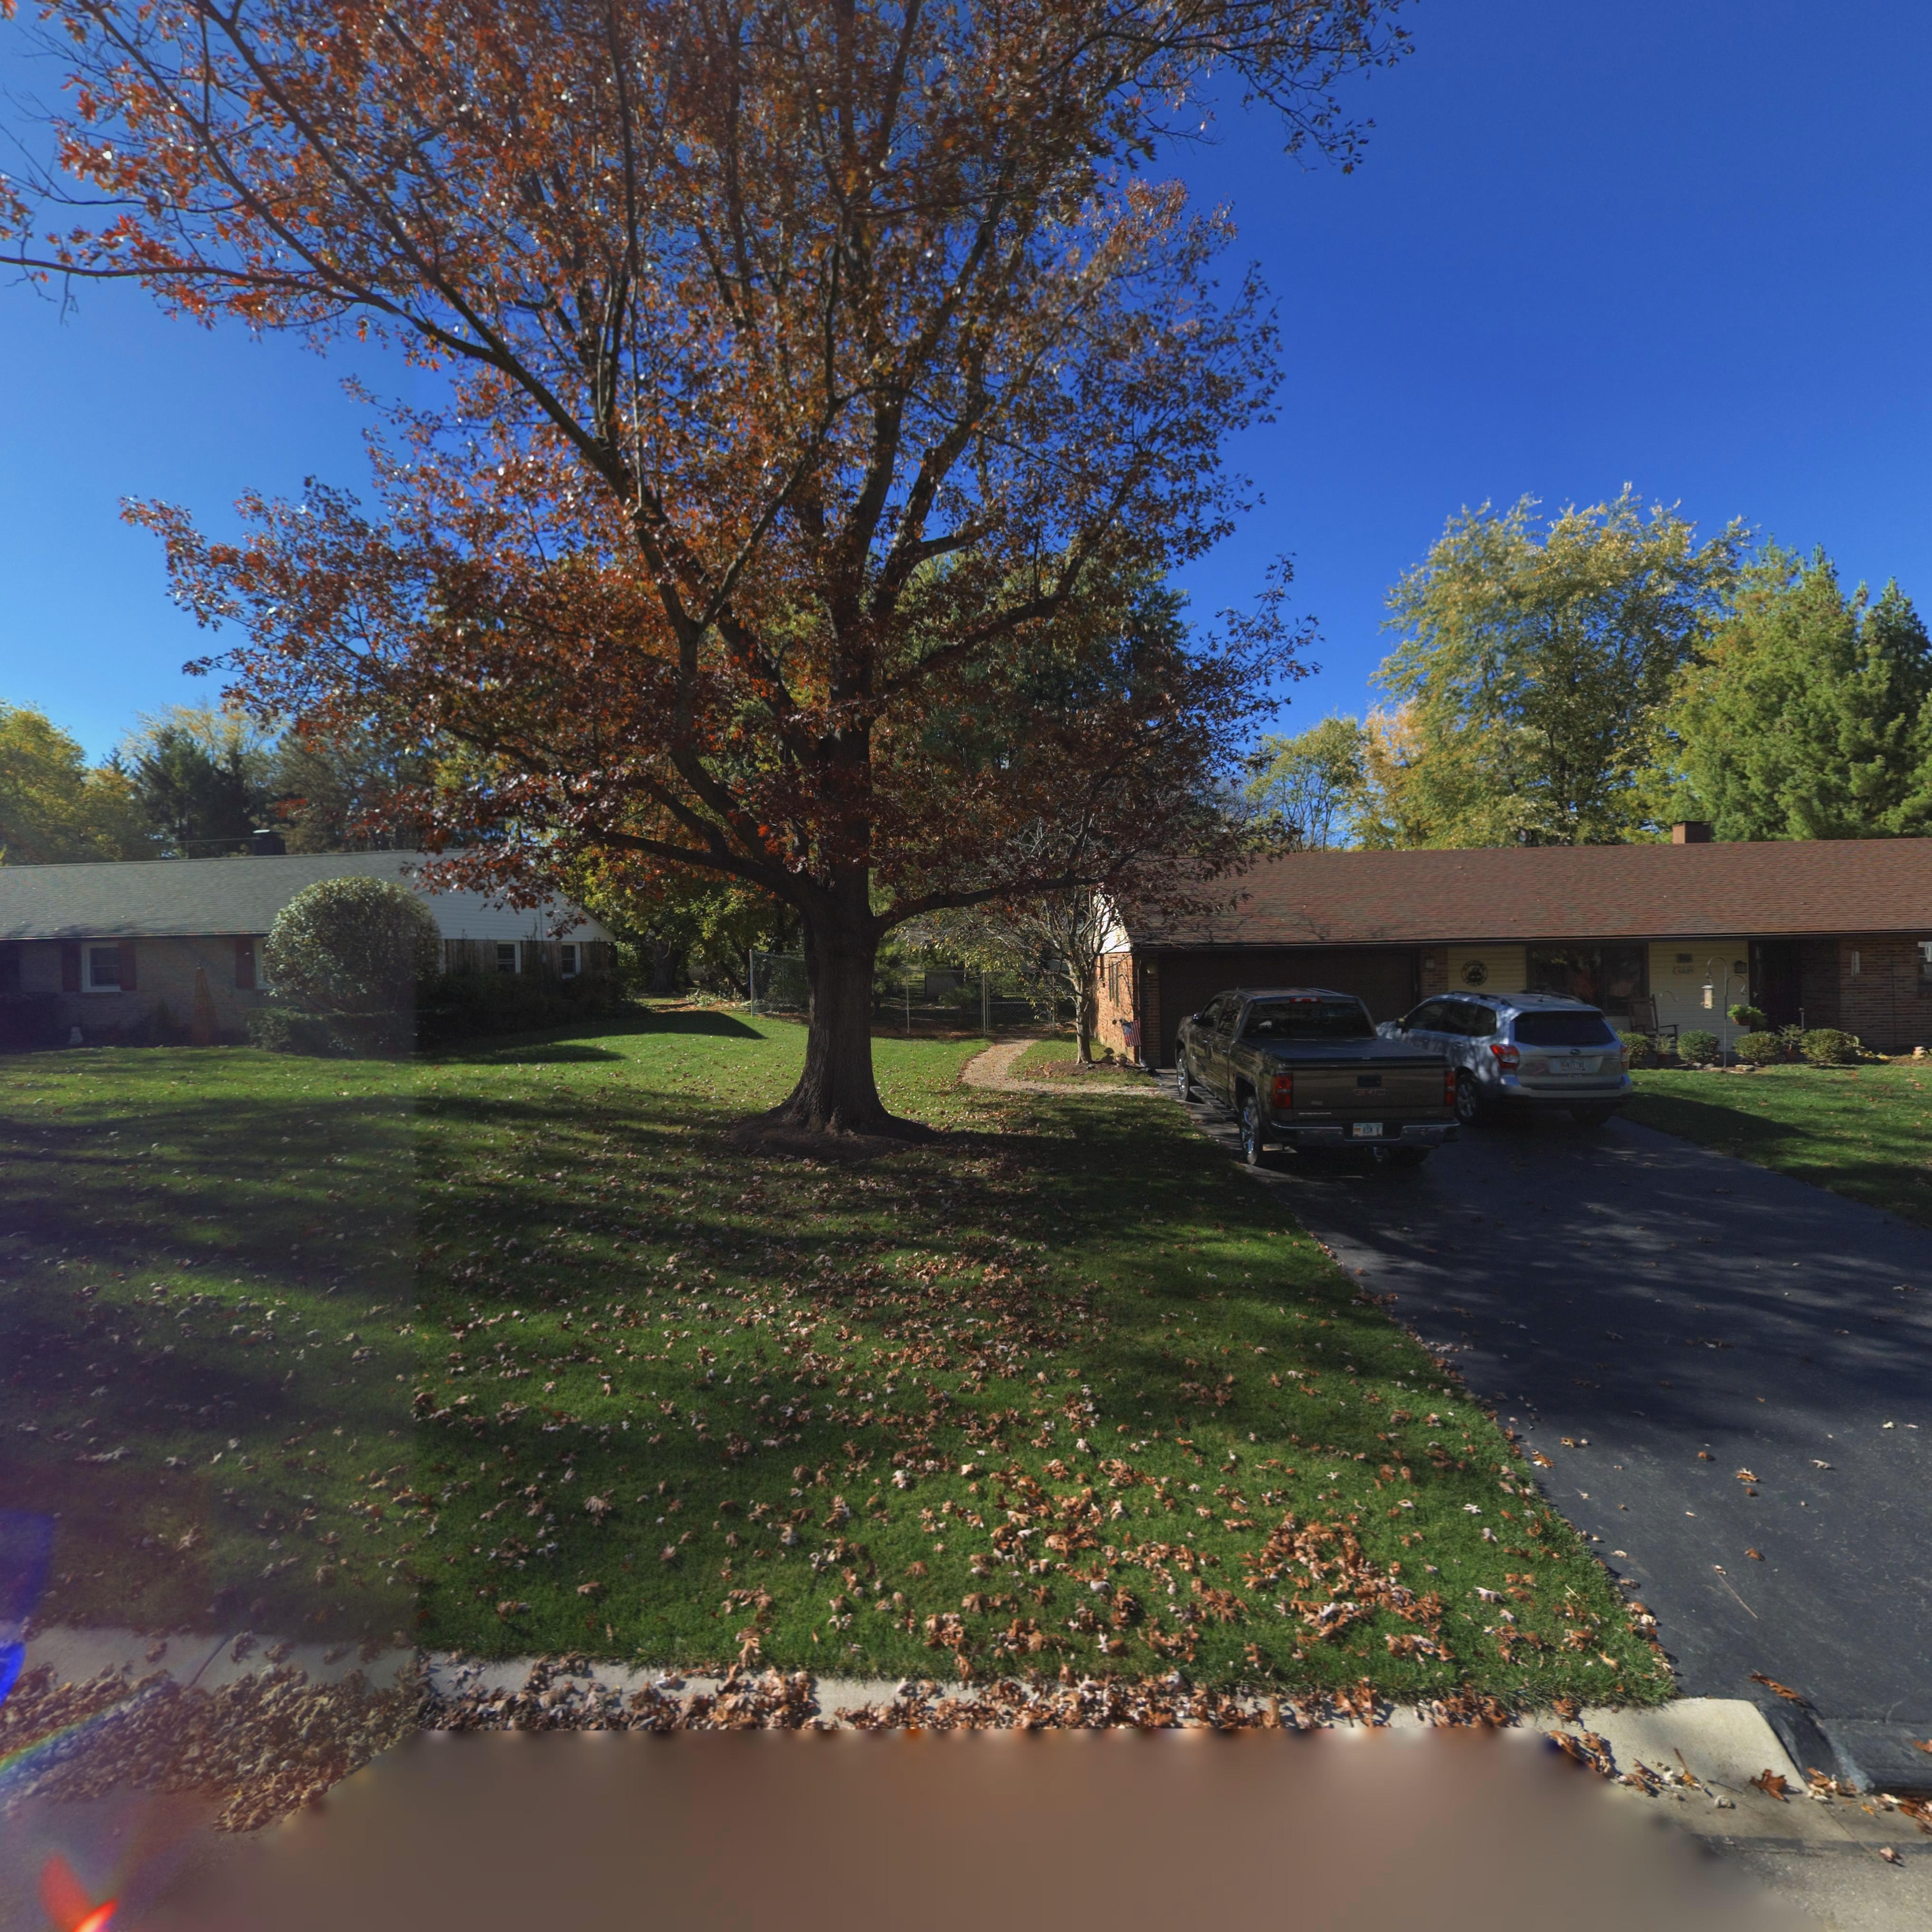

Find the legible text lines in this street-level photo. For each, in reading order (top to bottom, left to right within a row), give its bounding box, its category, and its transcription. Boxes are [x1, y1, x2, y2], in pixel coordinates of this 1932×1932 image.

[1678, 967, 1694, 974] StreetNumber: 66*9